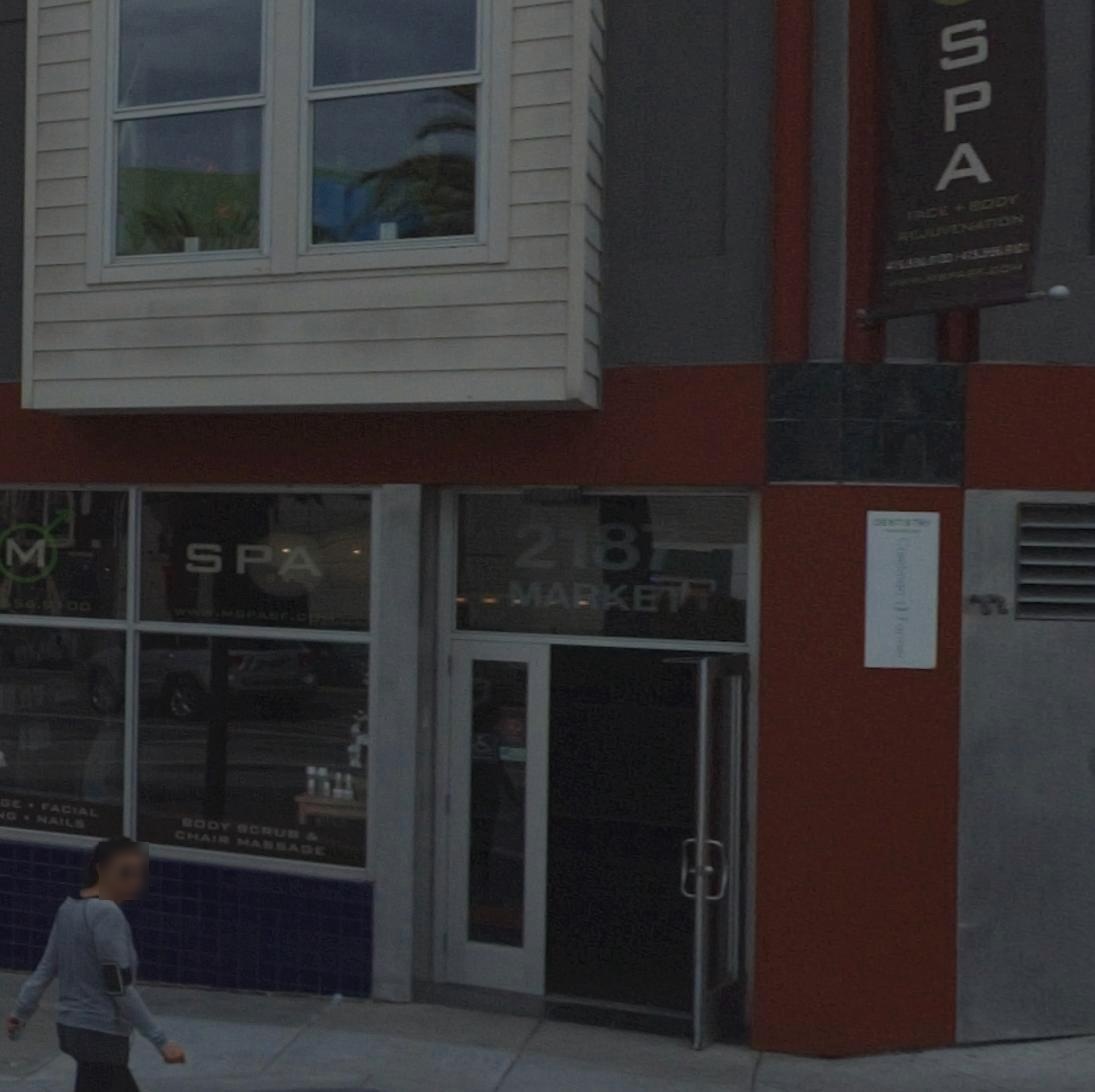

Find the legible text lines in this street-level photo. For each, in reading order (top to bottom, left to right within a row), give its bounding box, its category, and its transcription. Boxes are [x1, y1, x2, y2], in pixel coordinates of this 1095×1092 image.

[929, 10, 998, 199] BusinessName: SPA
[965, 190, 1024, 216] None: EDDY
[980, 210, 1027, 231] None: TION
[3, 536, 48, 570] BusinessName: M
[183, 540, 326, 580] BusinessName: SPA
[510, 518, 677, 577] StreetNumber: 2187
[11, 597, 94, 615] None: 5*.**00
[504, 577, 688, 618] StreetName: MARKET
[34, 812, 88, 831] None: NAILS
[38, 798, 101, 821] None: FACIAL
[179, 814, 304, 842] None: BODY SCRUB
[172, 828, 329, 859] None: CHAIR MASSAGE